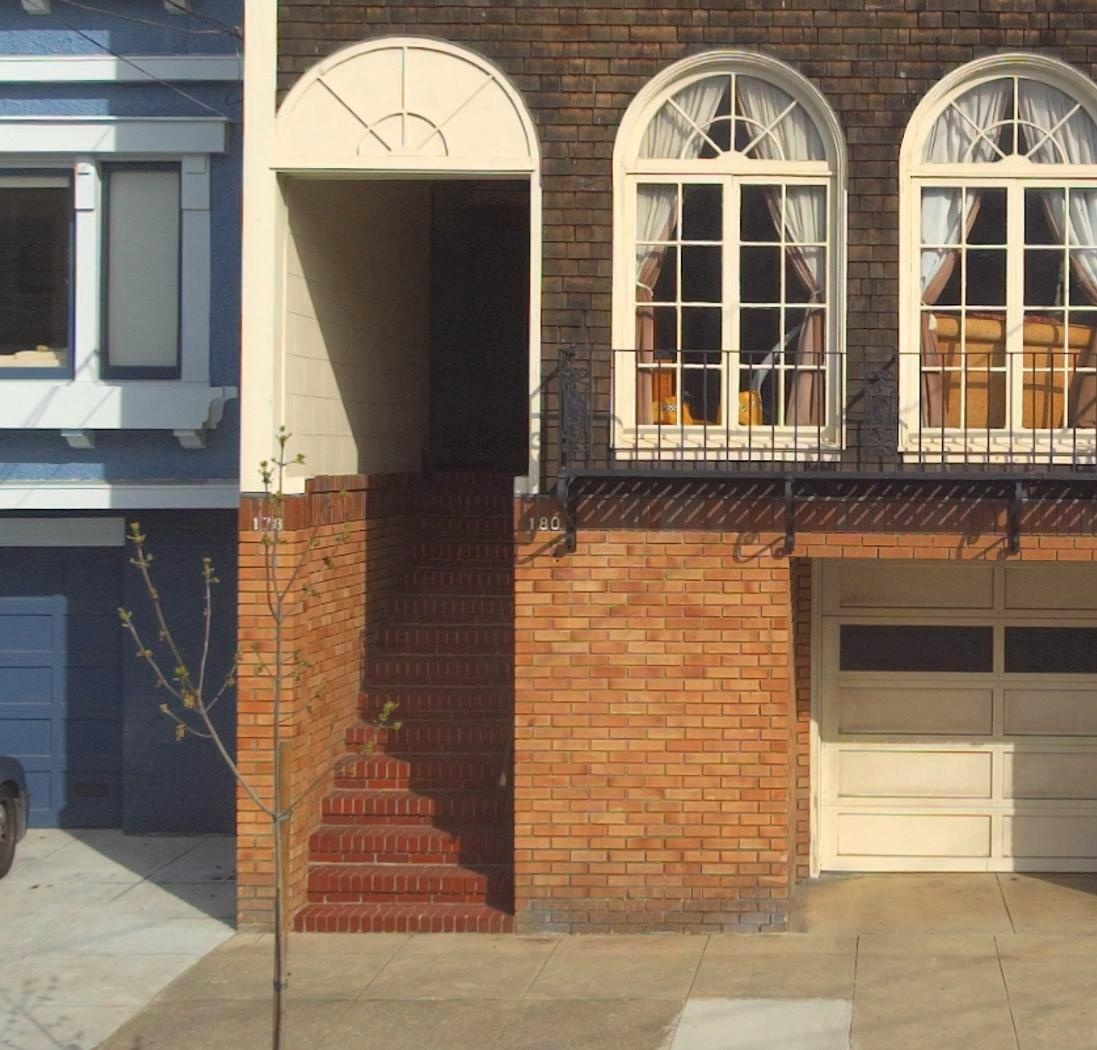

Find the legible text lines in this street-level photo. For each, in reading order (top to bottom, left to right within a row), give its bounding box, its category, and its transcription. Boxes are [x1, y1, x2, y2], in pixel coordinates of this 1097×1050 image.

[250, 515, 284, 532] StreetNumber: 1**
[527, 514, 562, 533] StreetNumber: 180